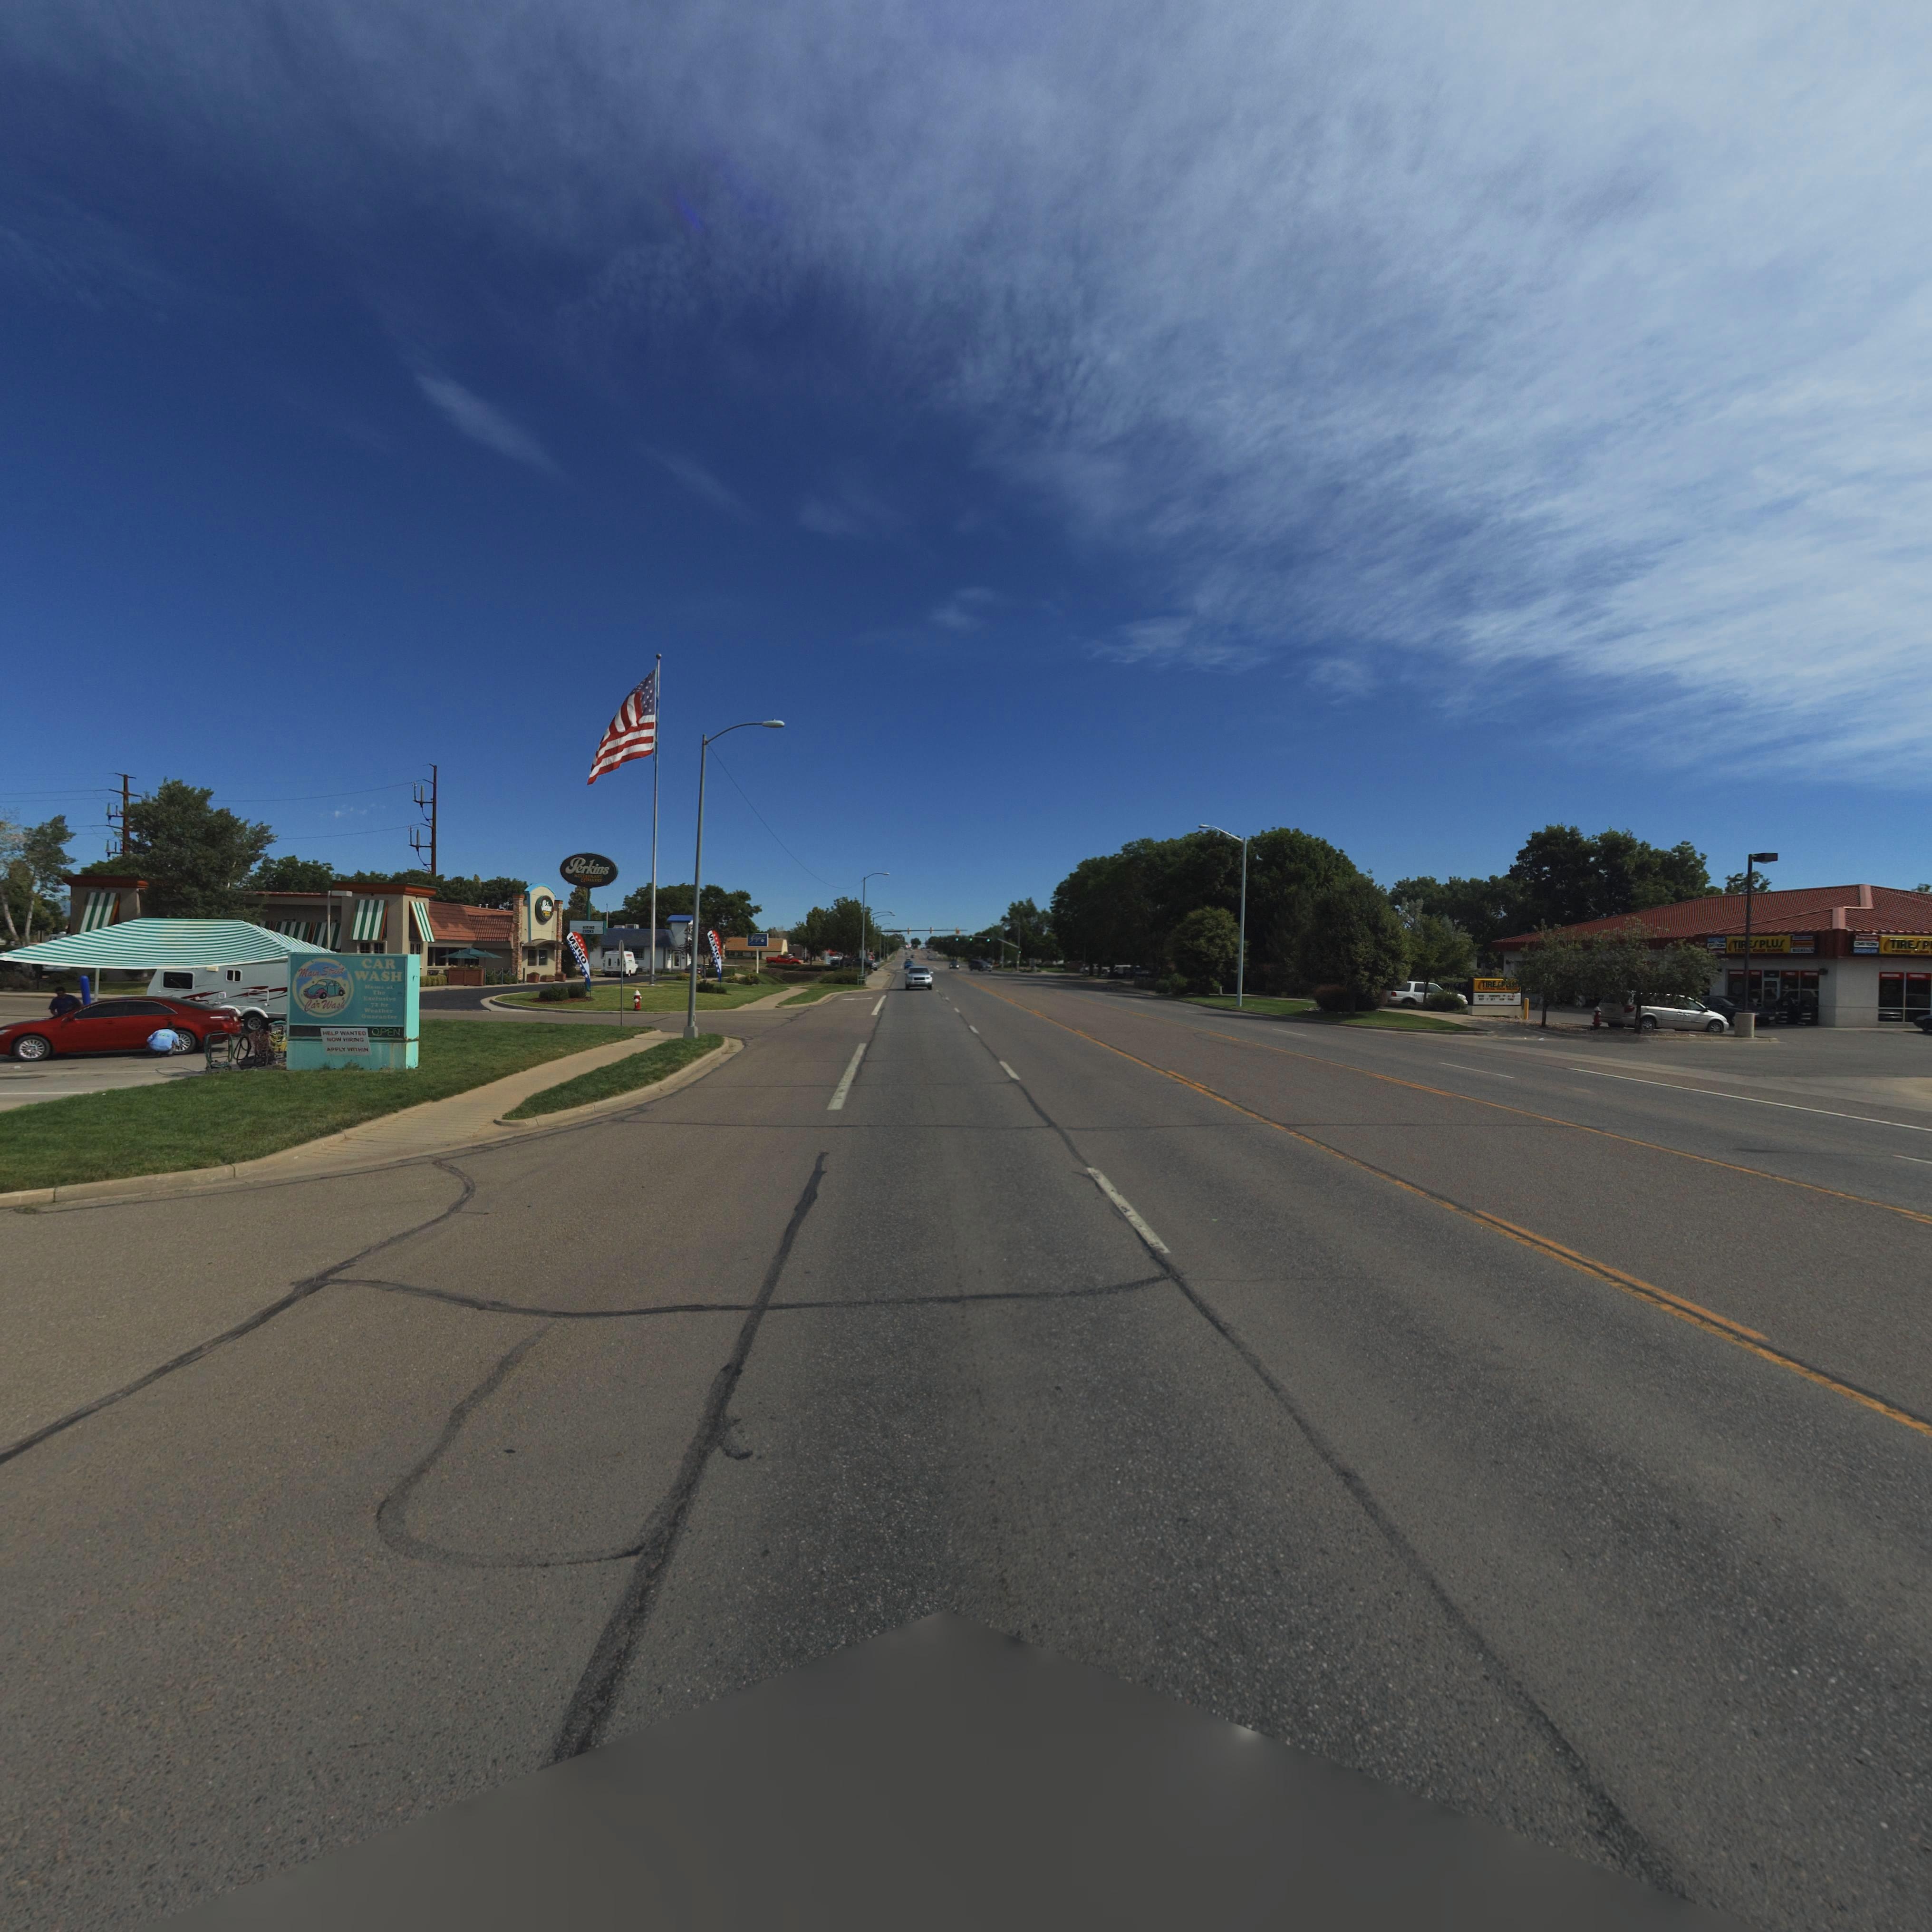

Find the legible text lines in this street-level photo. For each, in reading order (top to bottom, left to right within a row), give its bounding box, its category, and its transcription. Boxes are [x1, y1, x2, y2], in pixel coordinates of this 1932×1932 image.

[565, 856, 609, 875] BusinessName: Perkins
[749, 935, 758, 943] BusinessName: S**
[1732, 938, 1785, 948] BusinessName: TIR*S PLUS
[1889, 938, 1930, 949] BusinessName: TIRES P
[298, 966, 345, 977] BusinessName: Main Str***
[1481, 981, 1506, 987] BusinessName: TIRES *
[304, 998, 345, 1012] BusinessName: Car Was*